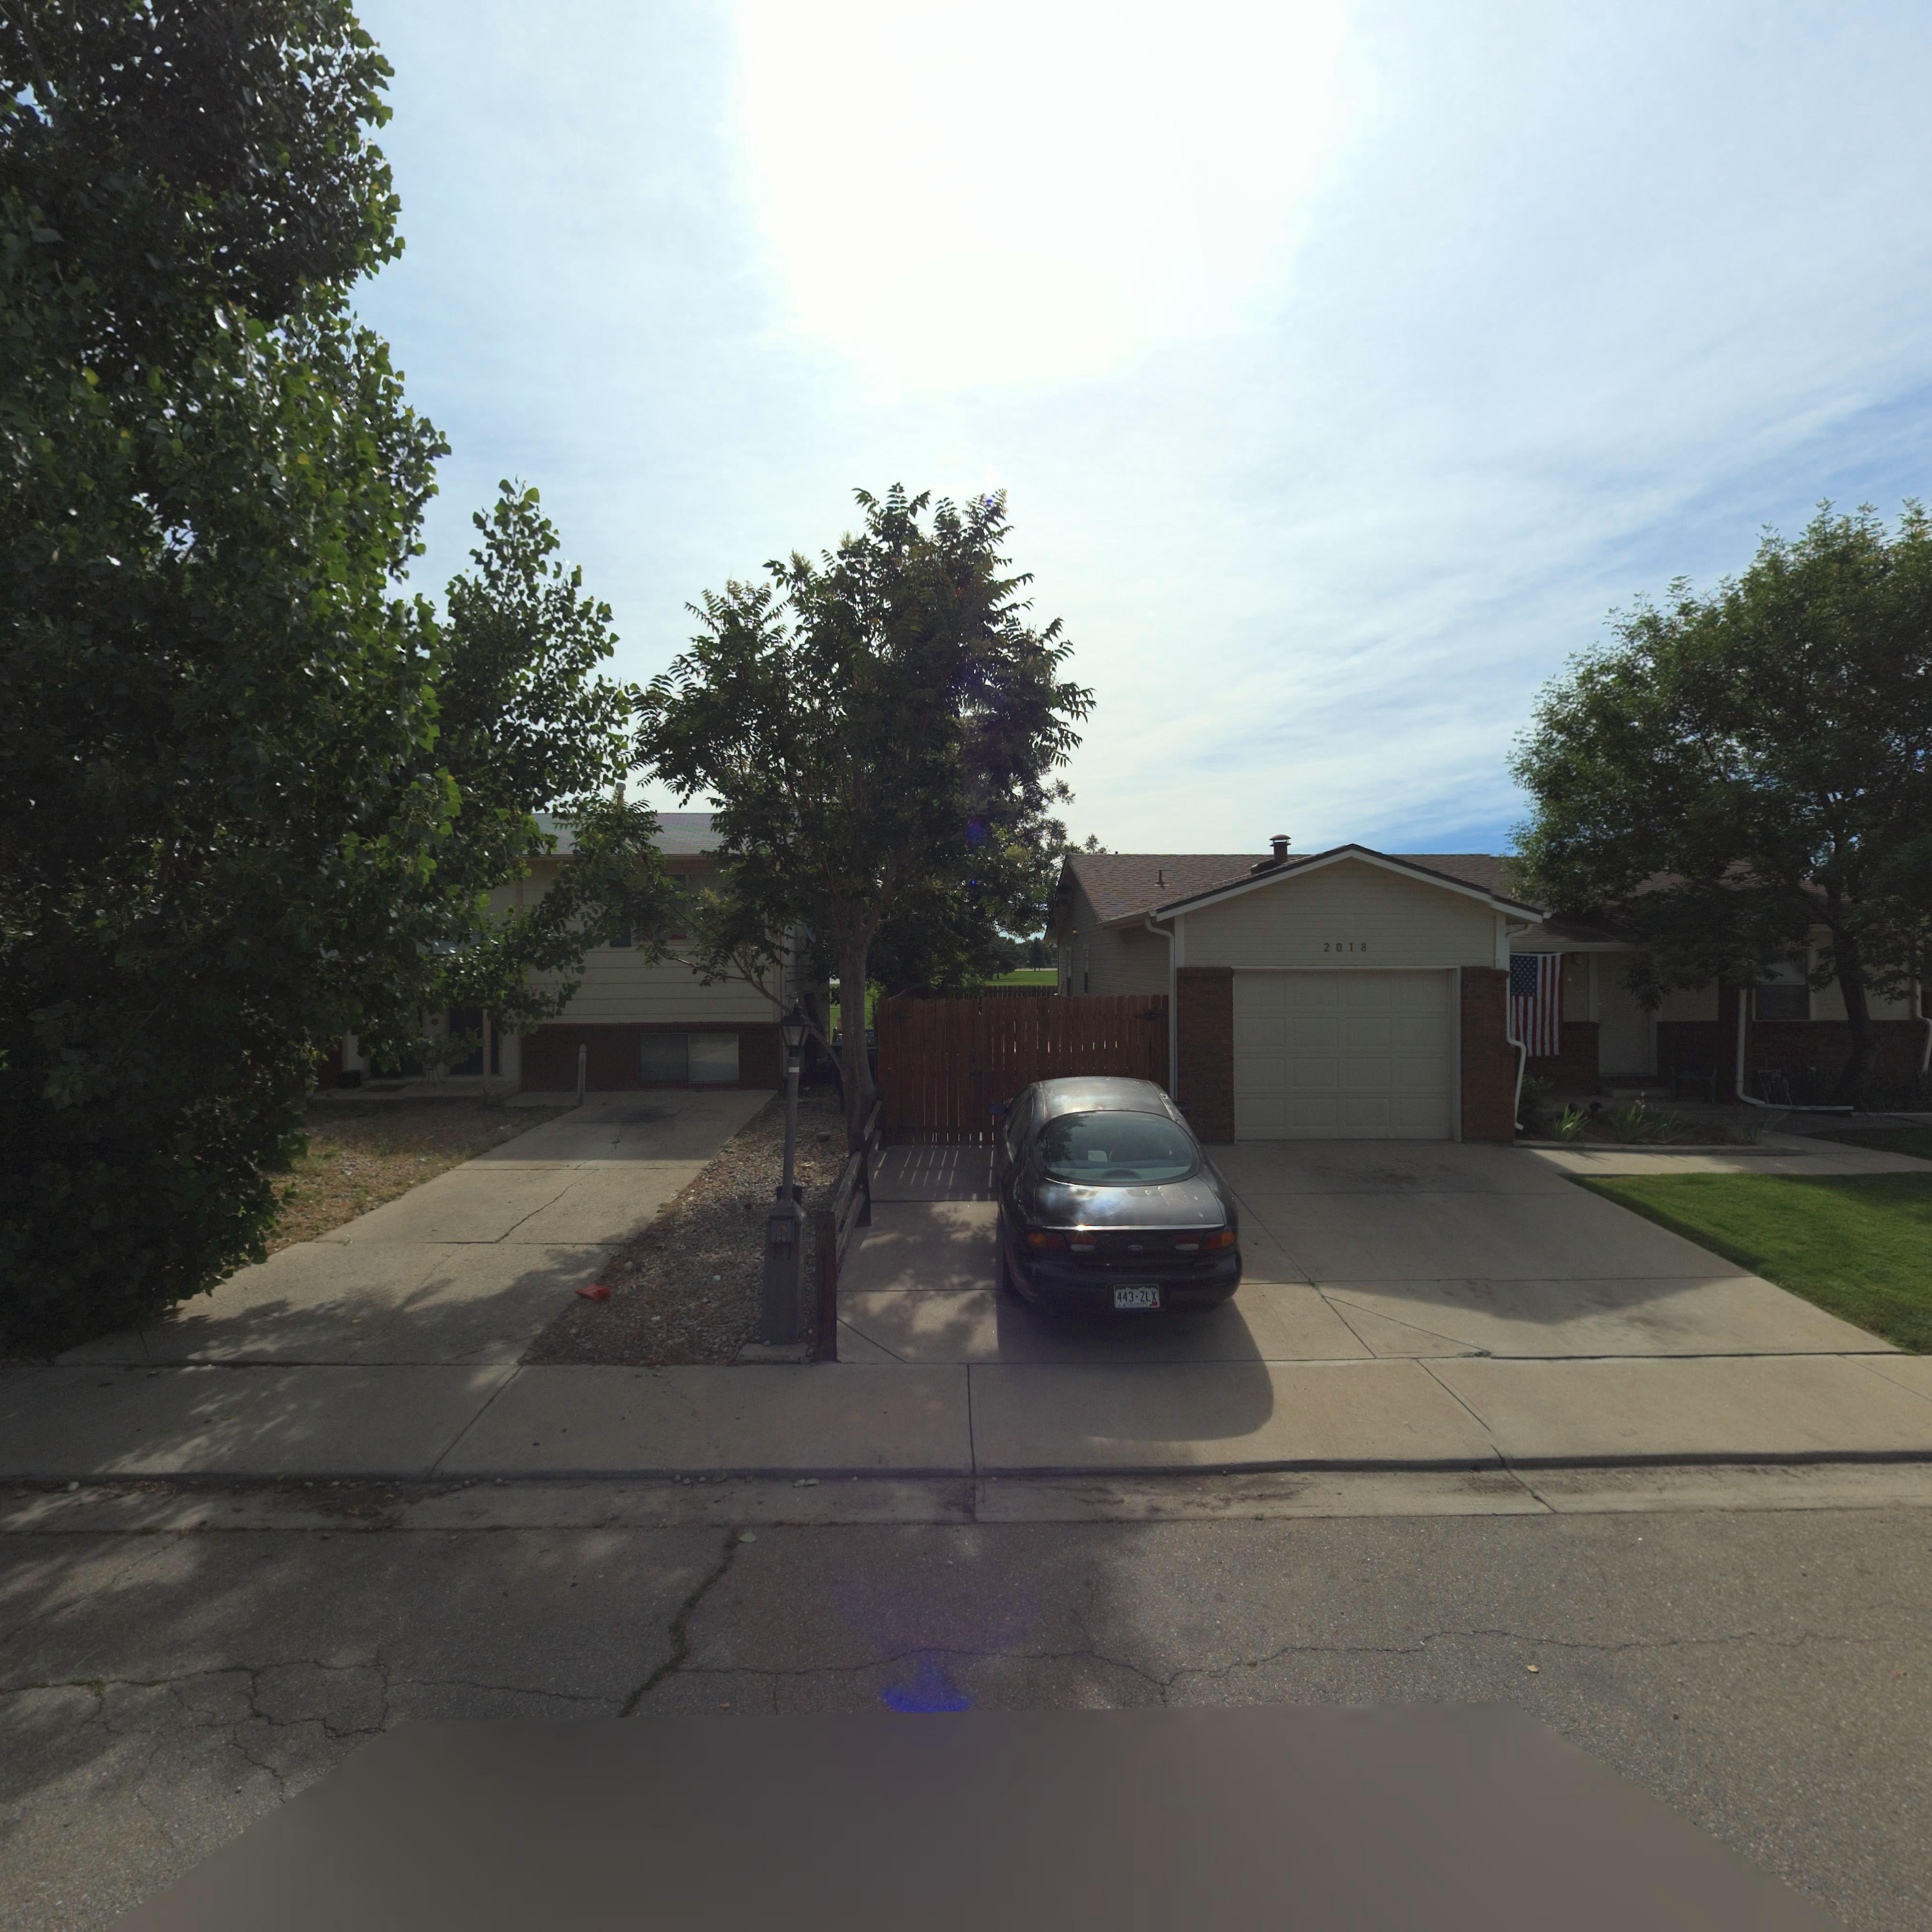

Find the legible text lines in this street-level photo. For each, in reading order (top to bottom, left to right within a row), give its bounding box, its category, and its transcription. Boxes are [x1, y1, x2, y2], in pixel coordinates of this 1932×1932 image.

[1323, 942, 1367, 952] StreetNumber: 2018